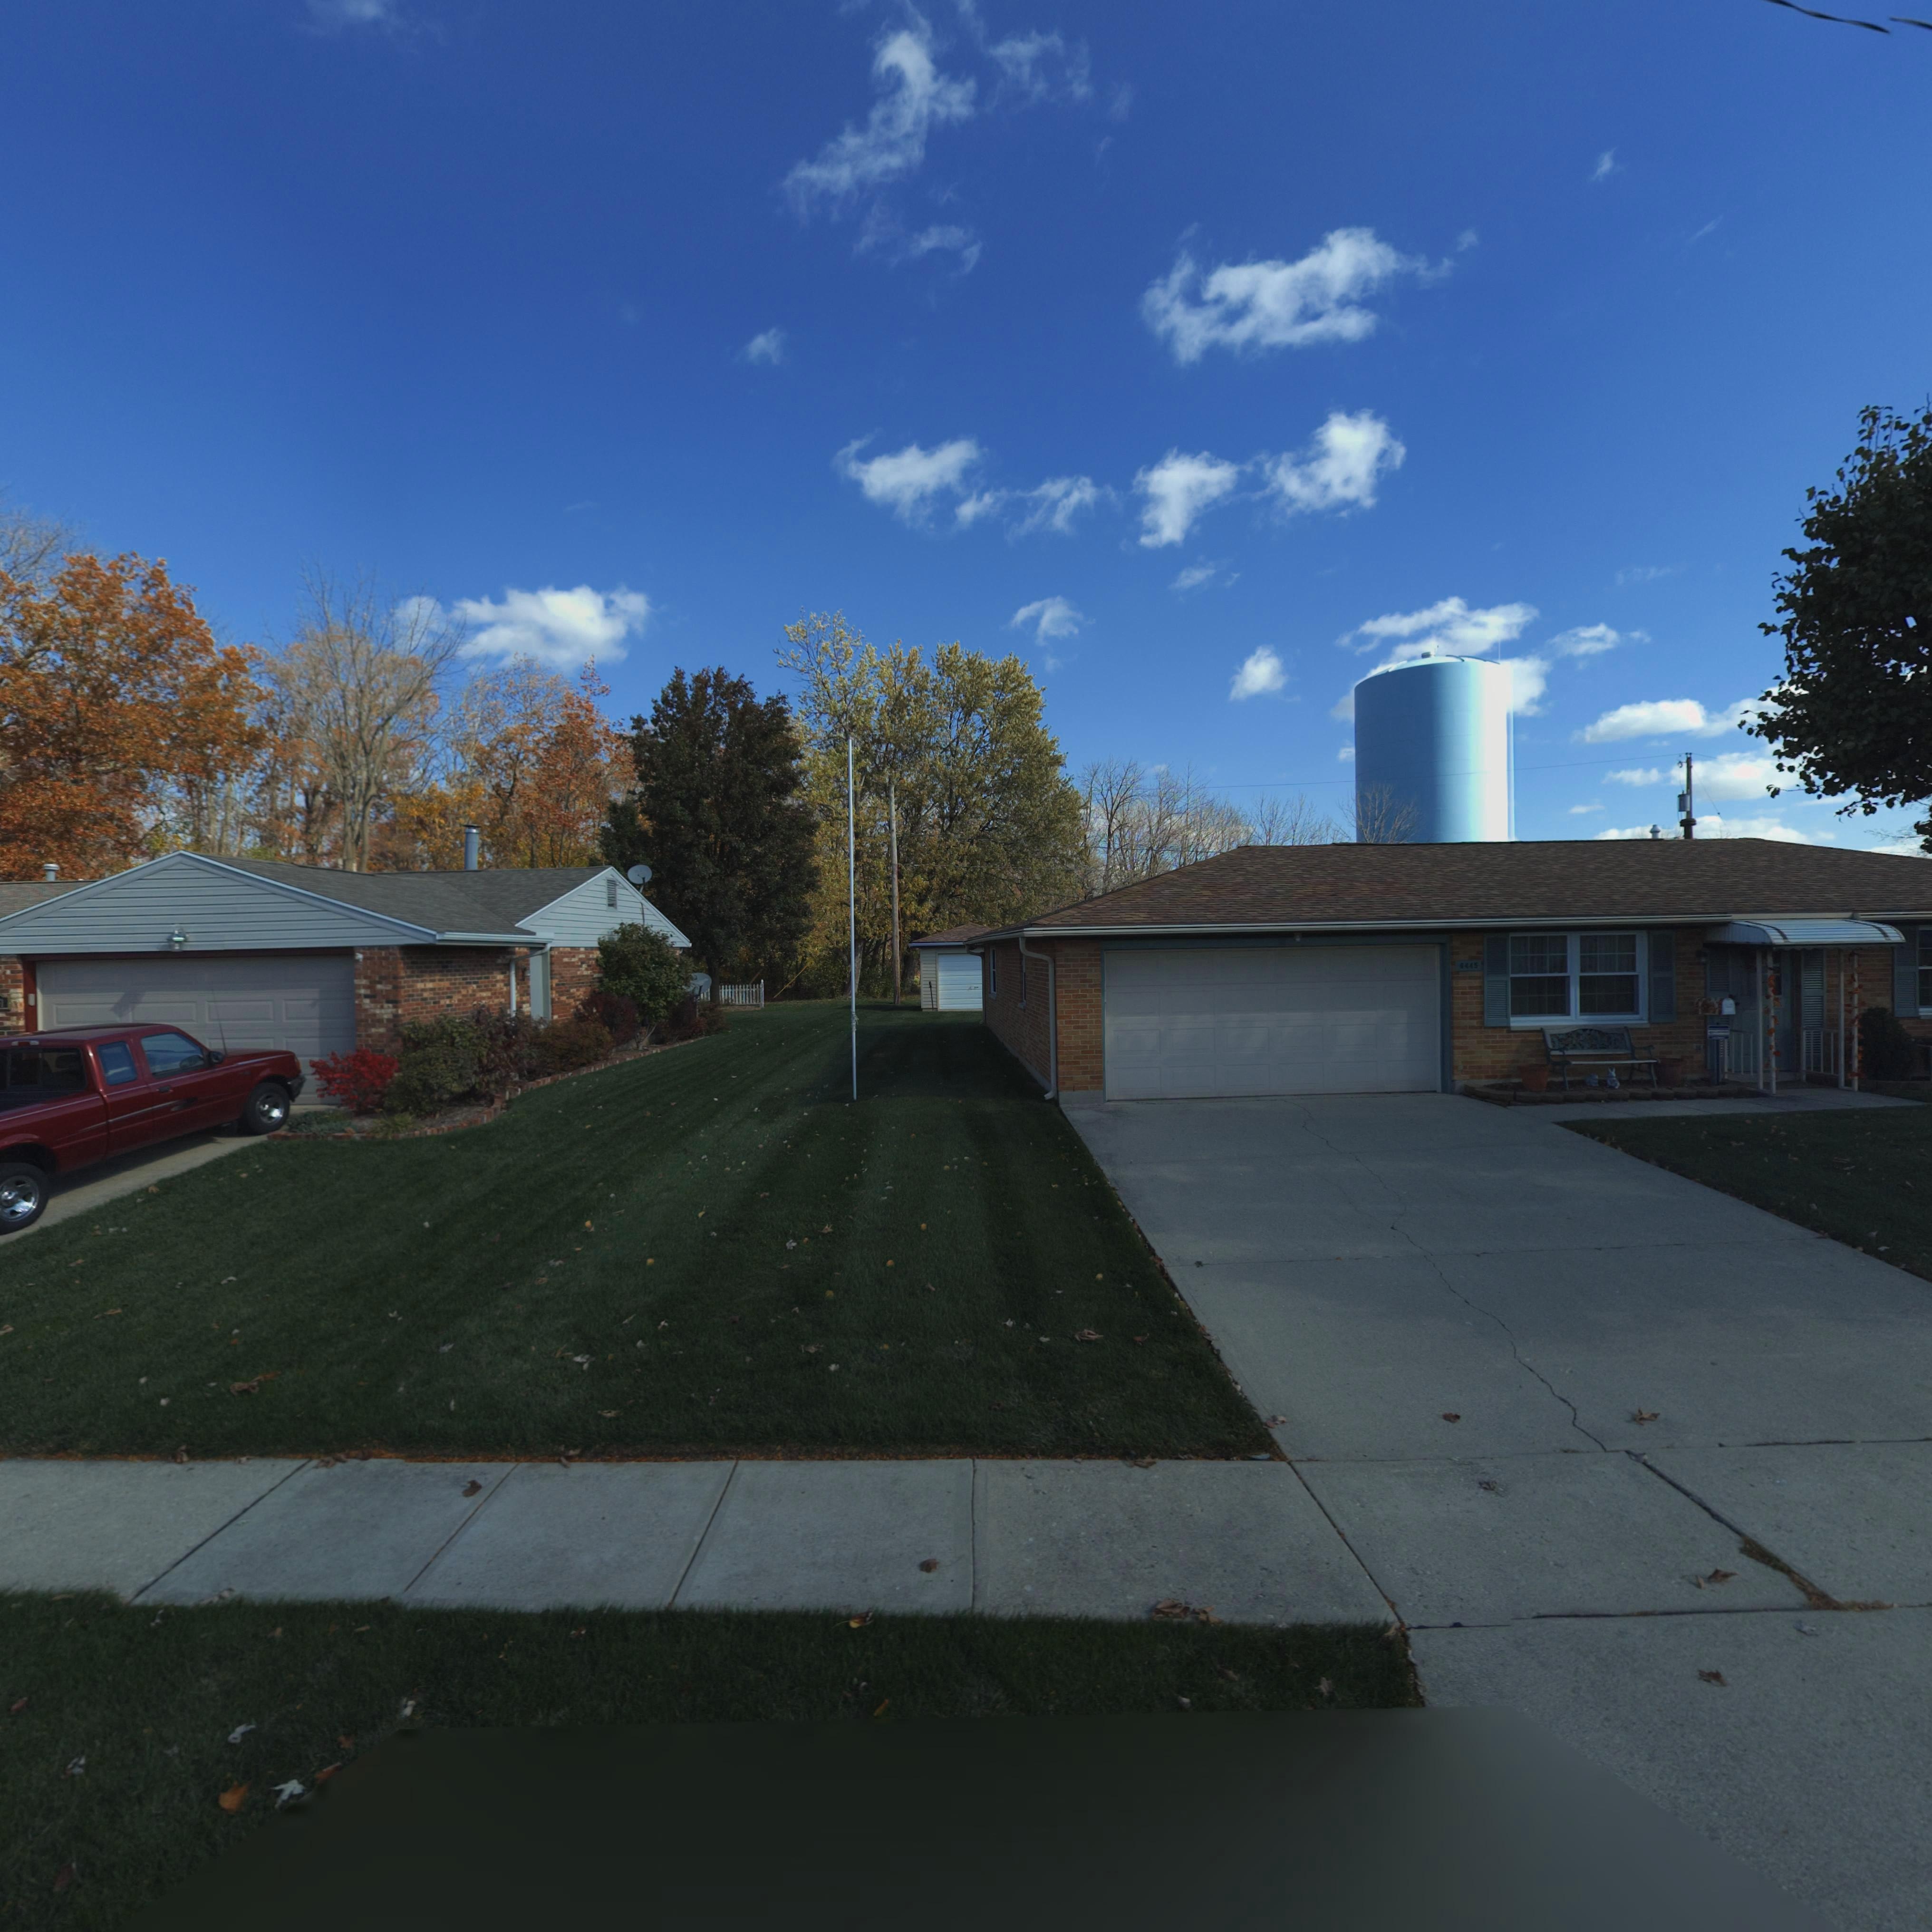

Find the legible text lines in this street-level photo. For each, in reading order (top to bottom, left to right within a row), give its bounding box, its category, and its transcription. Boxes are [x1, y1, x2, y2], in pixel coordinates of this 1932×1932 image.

[1459, 962, 1478, 969] StreetNumber: 8445